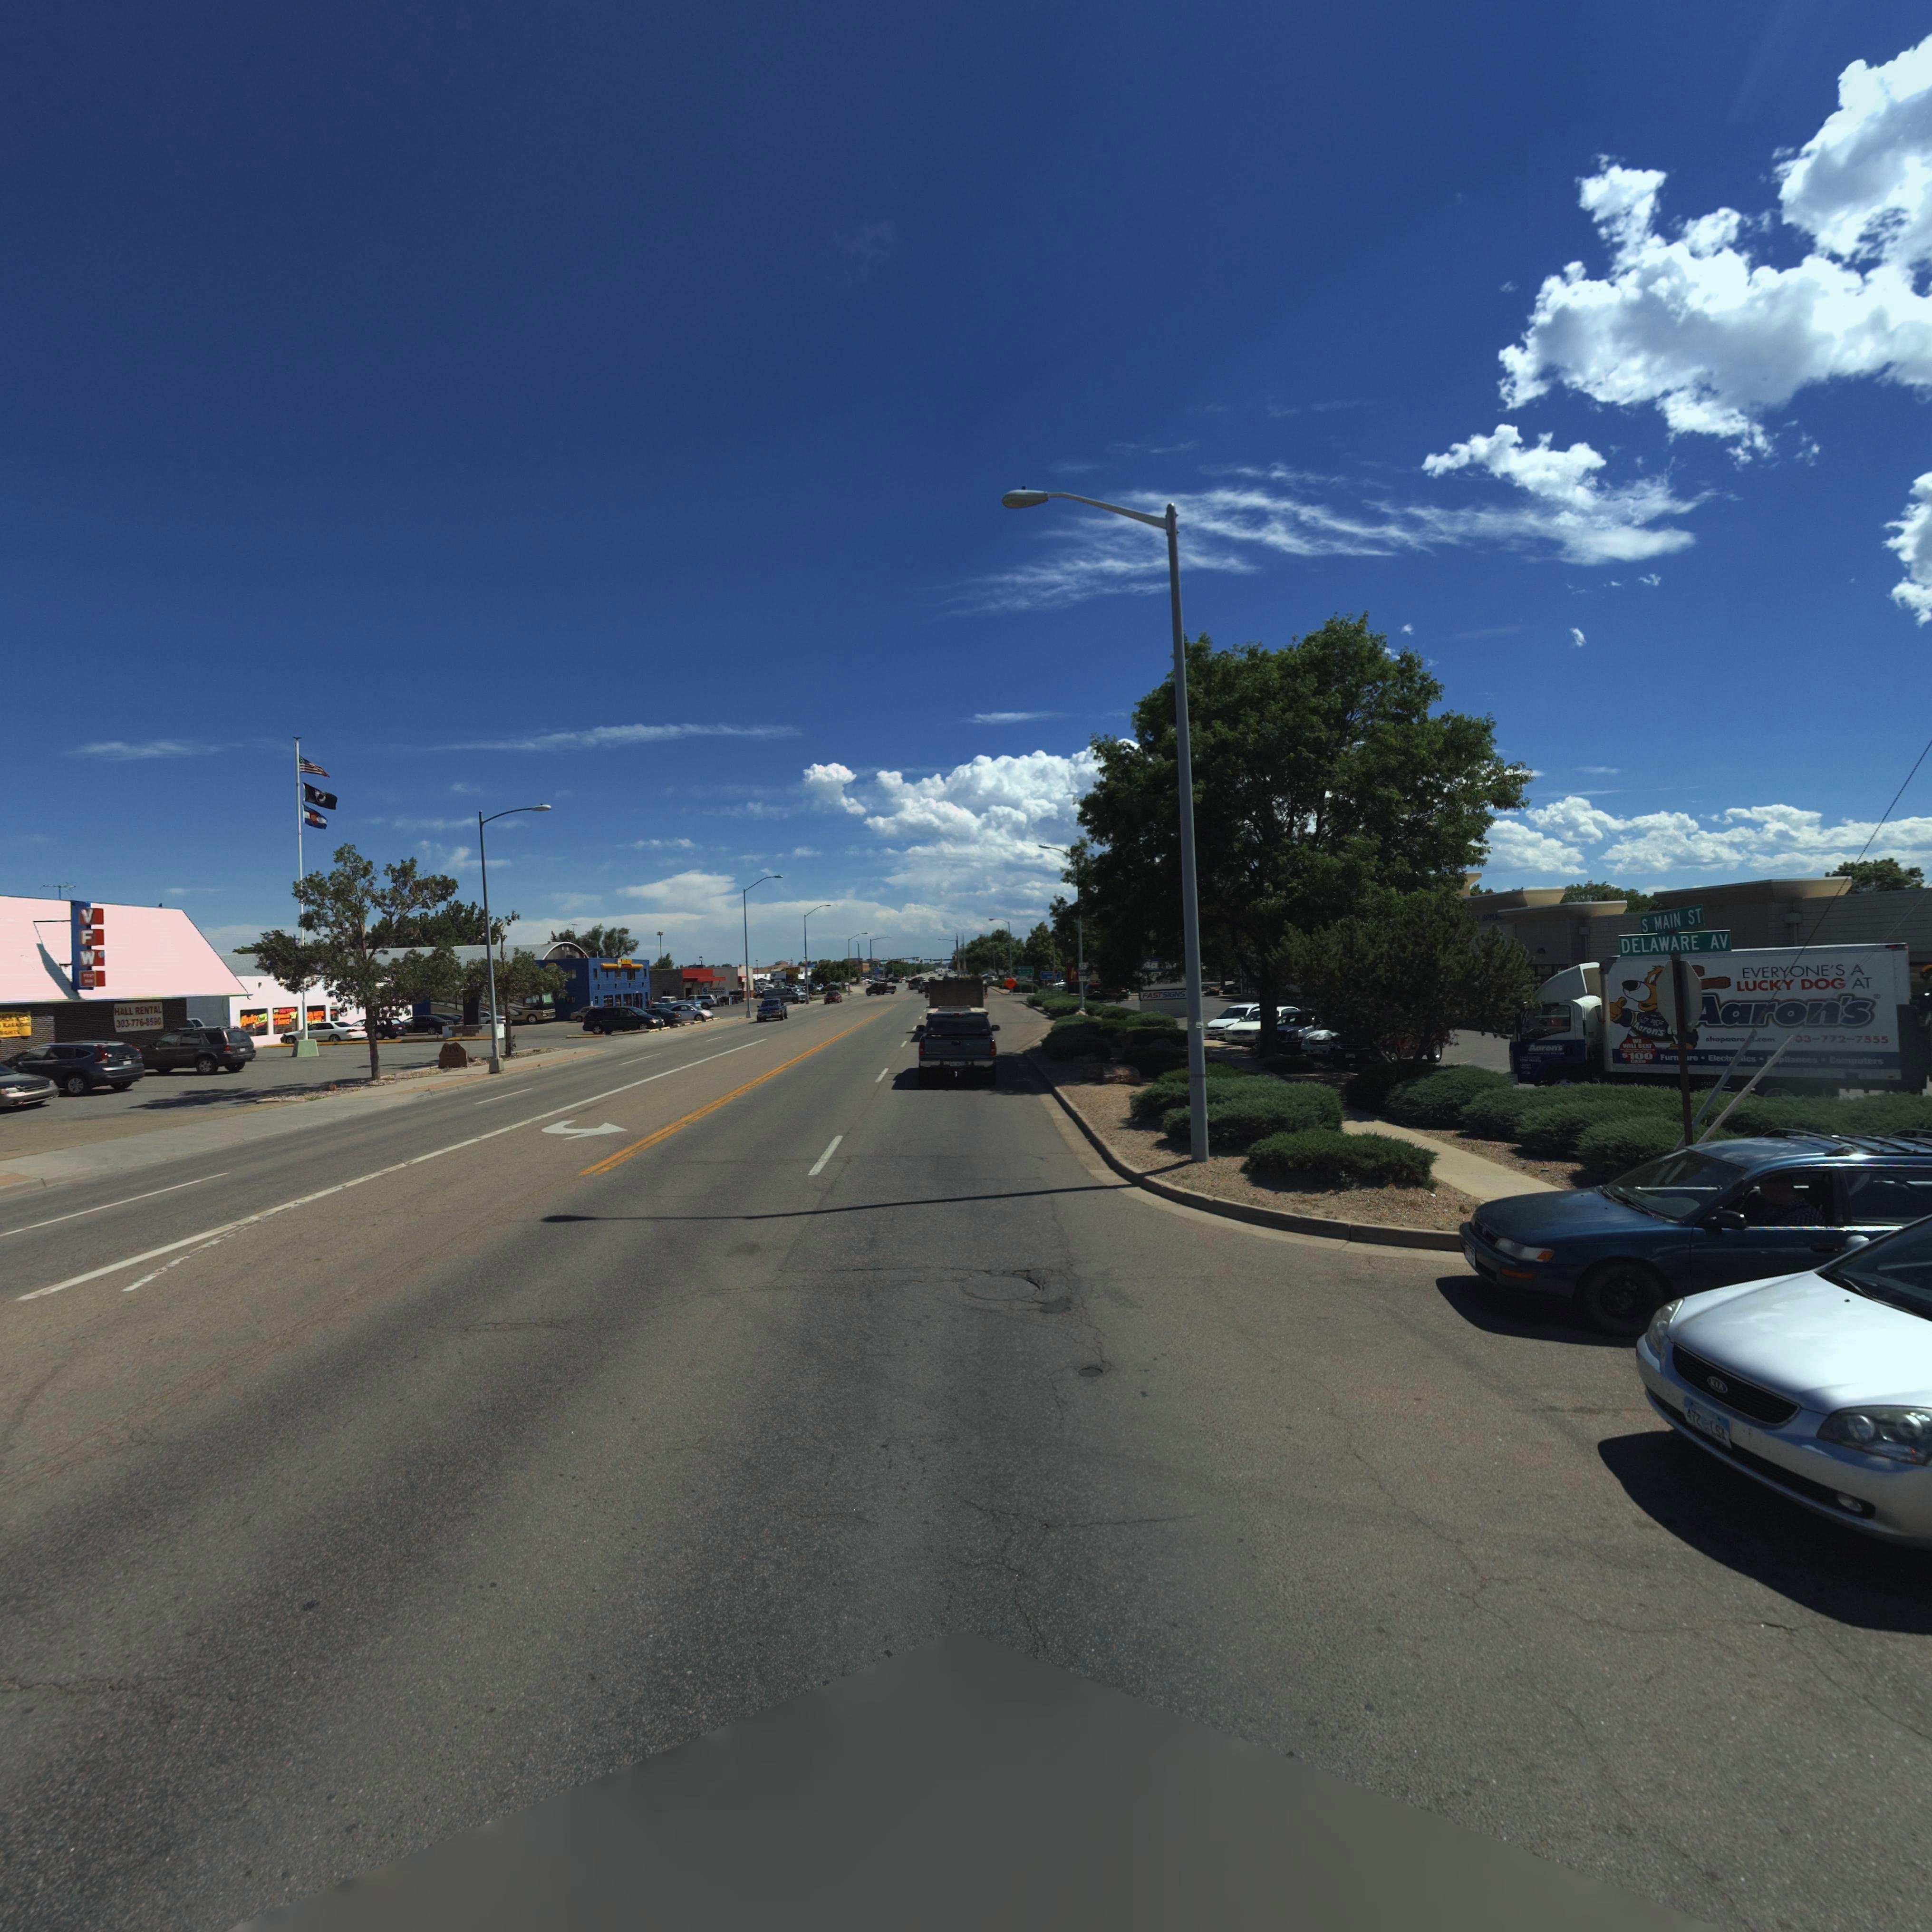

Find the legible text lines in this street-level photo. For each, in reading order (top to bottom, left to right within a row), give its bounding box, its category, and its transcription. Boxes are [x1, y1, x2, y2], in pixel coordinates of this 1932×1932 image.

[1641, 907, 1704, 934] StreetName: S MAIN ST
[79, 908, 95, 966] BusinessName: VFW
[1620, 932, 1729, 955] StreetName: DELAWARE AV
[1141, 990, 1186, 999] BusinessName: FASTSIGNS
[444, 1045, 459, 1053] BusinessName: VFW